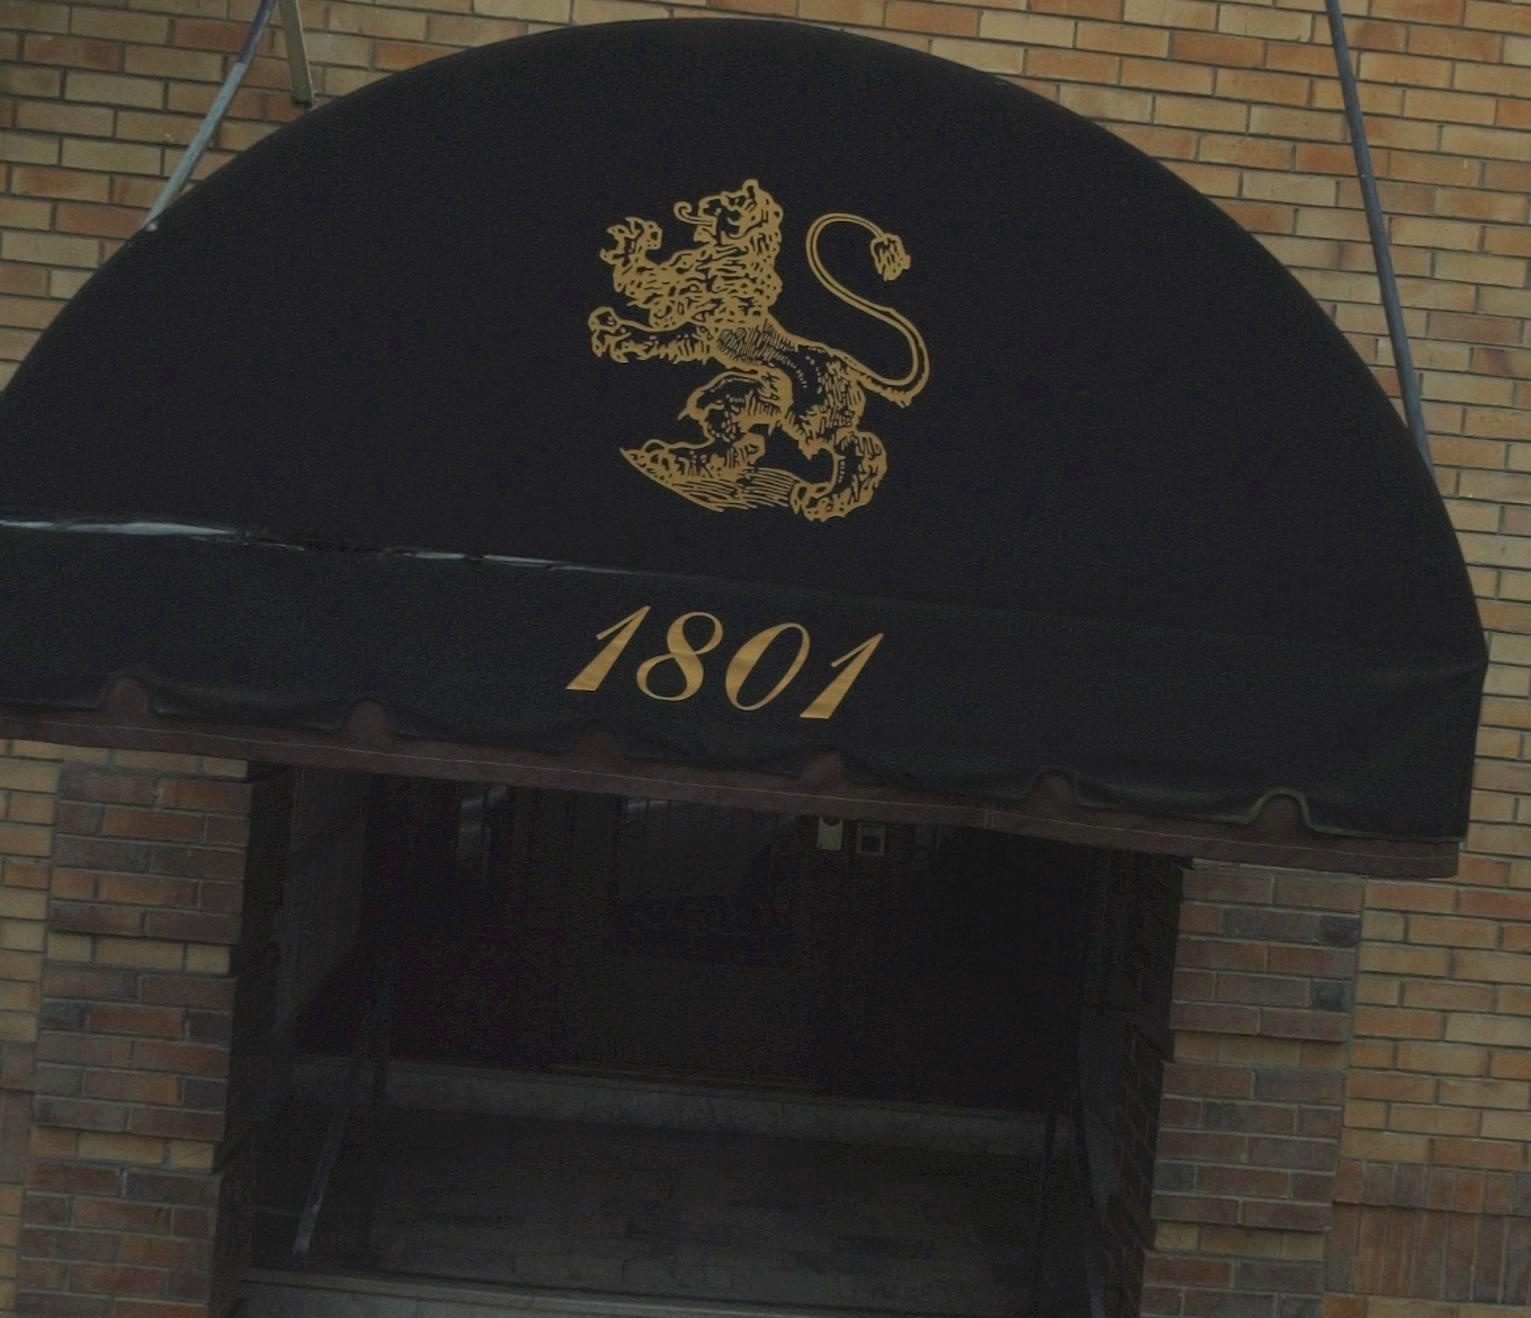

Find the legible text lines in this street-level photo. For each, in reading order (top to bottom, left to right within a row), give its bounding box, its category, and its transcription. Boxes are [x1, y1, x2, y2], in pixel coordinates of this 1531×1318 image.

[561, 600, 888, 722] StreetNumber: 1801